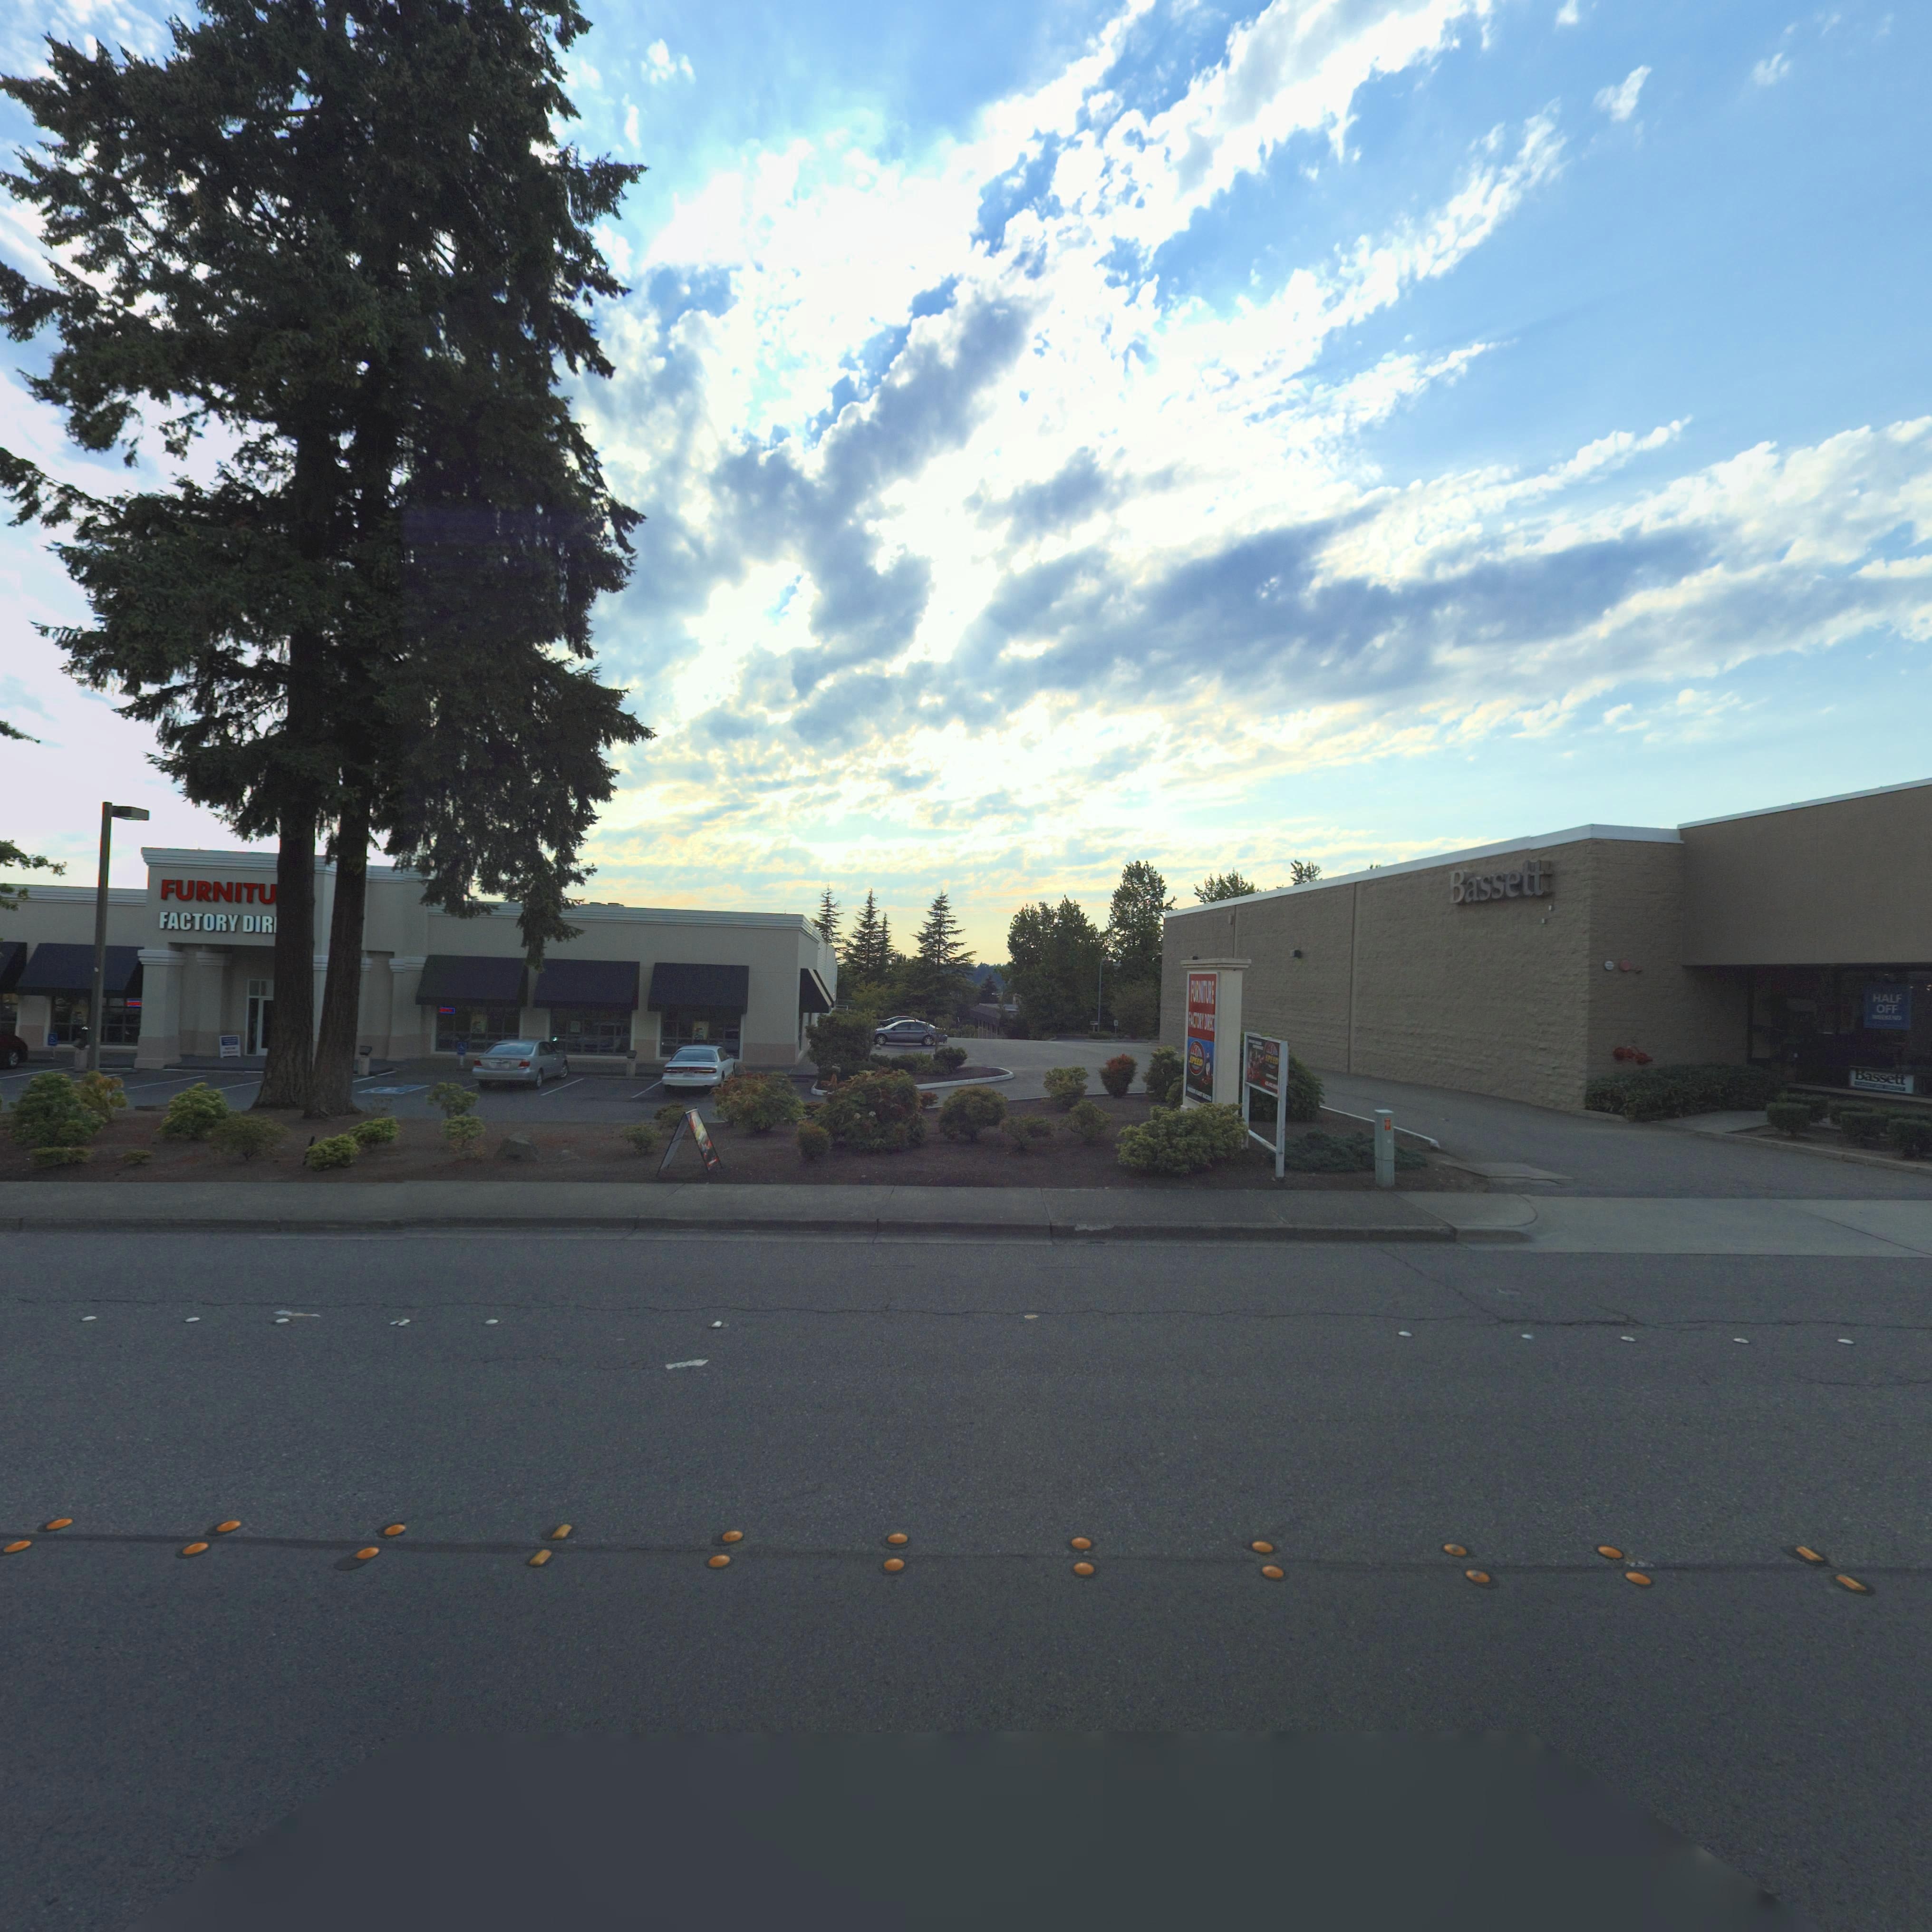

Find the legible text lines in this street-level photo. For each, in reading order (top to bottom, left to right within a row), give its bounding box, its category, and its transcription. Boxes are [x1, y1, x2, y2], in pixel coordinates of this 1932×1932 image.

[159, 878, 279, 906] BusinessName: FURNITU
[1447, 856, 1546, 907] BusinessName: Bassett
[159, 911, 272, 932] BusinessName: FACTORY DIR
[1189, 1040, 1199, 1056] BusinessName: K1
[1188, 1053, 1204, 1067] BusinessName: SPEED
[1855, 1068, 1906, 1086] BusinessName: Bassett